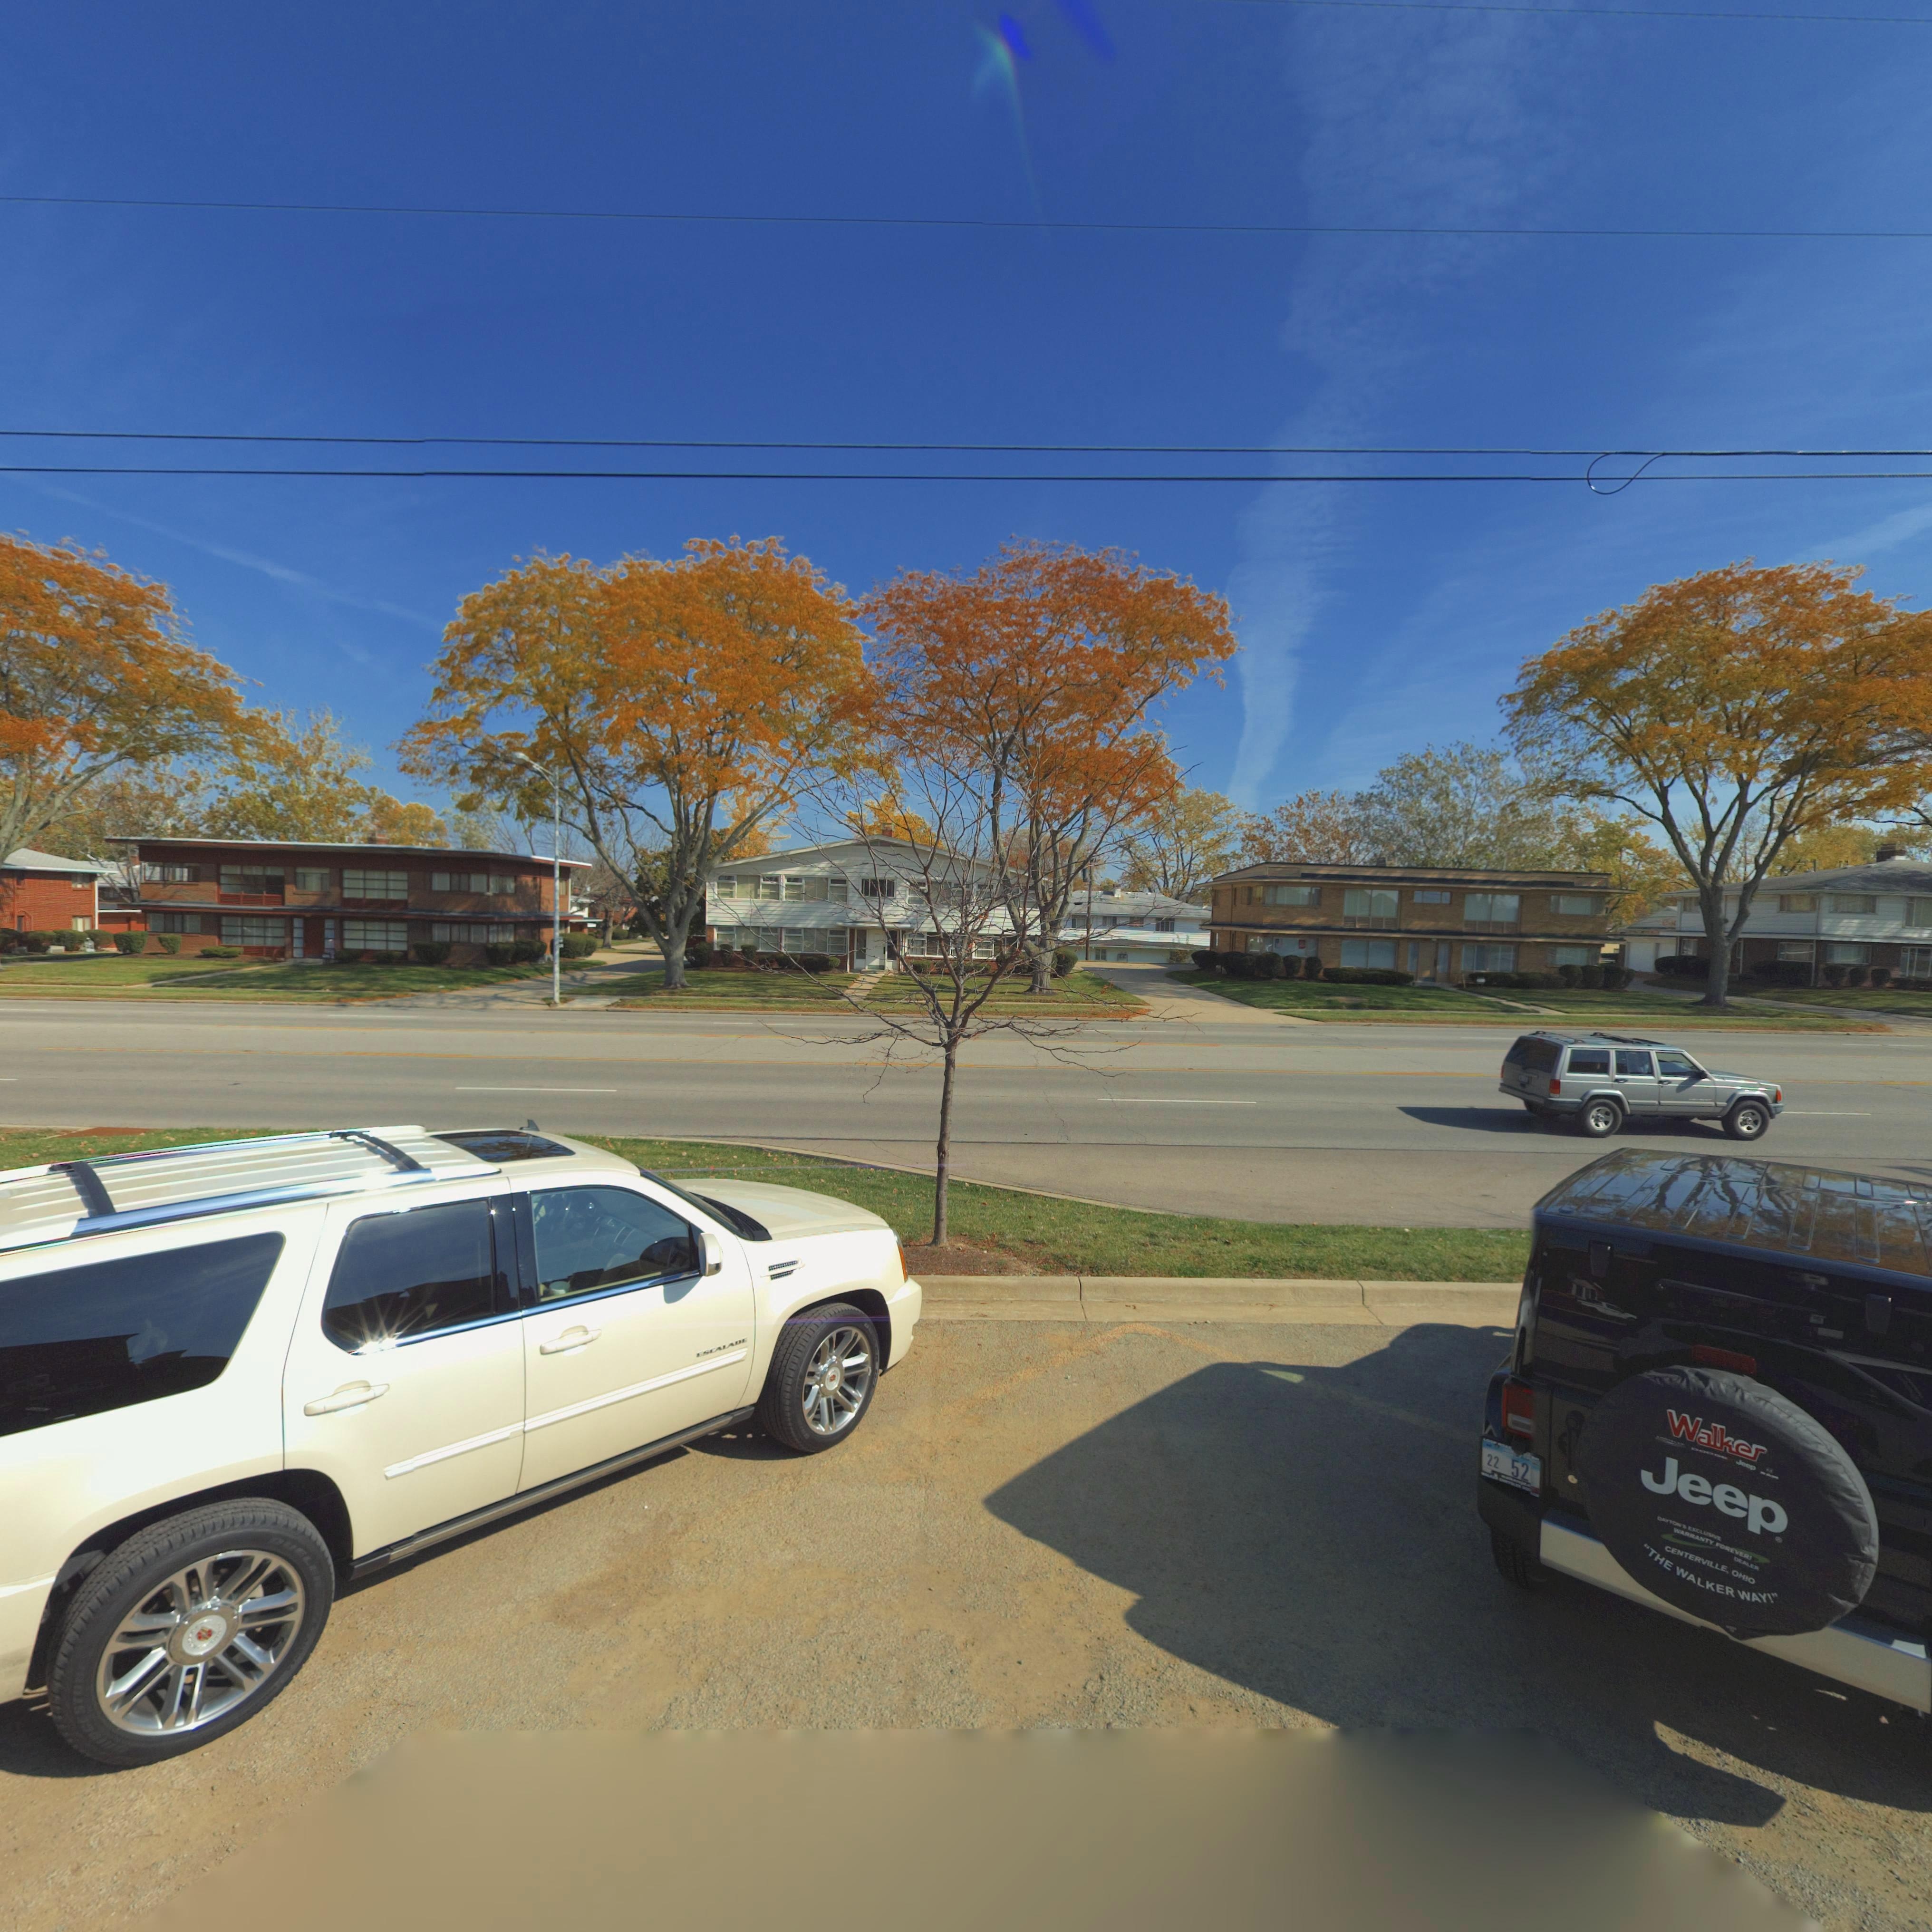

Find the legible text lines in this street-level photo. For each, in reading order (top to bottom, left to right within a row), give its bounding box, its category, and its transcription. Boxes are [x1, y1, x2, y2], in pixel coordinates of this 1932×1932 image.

[1664, 1544, 1758, 1586] None: CENTERVILLE, OHIO